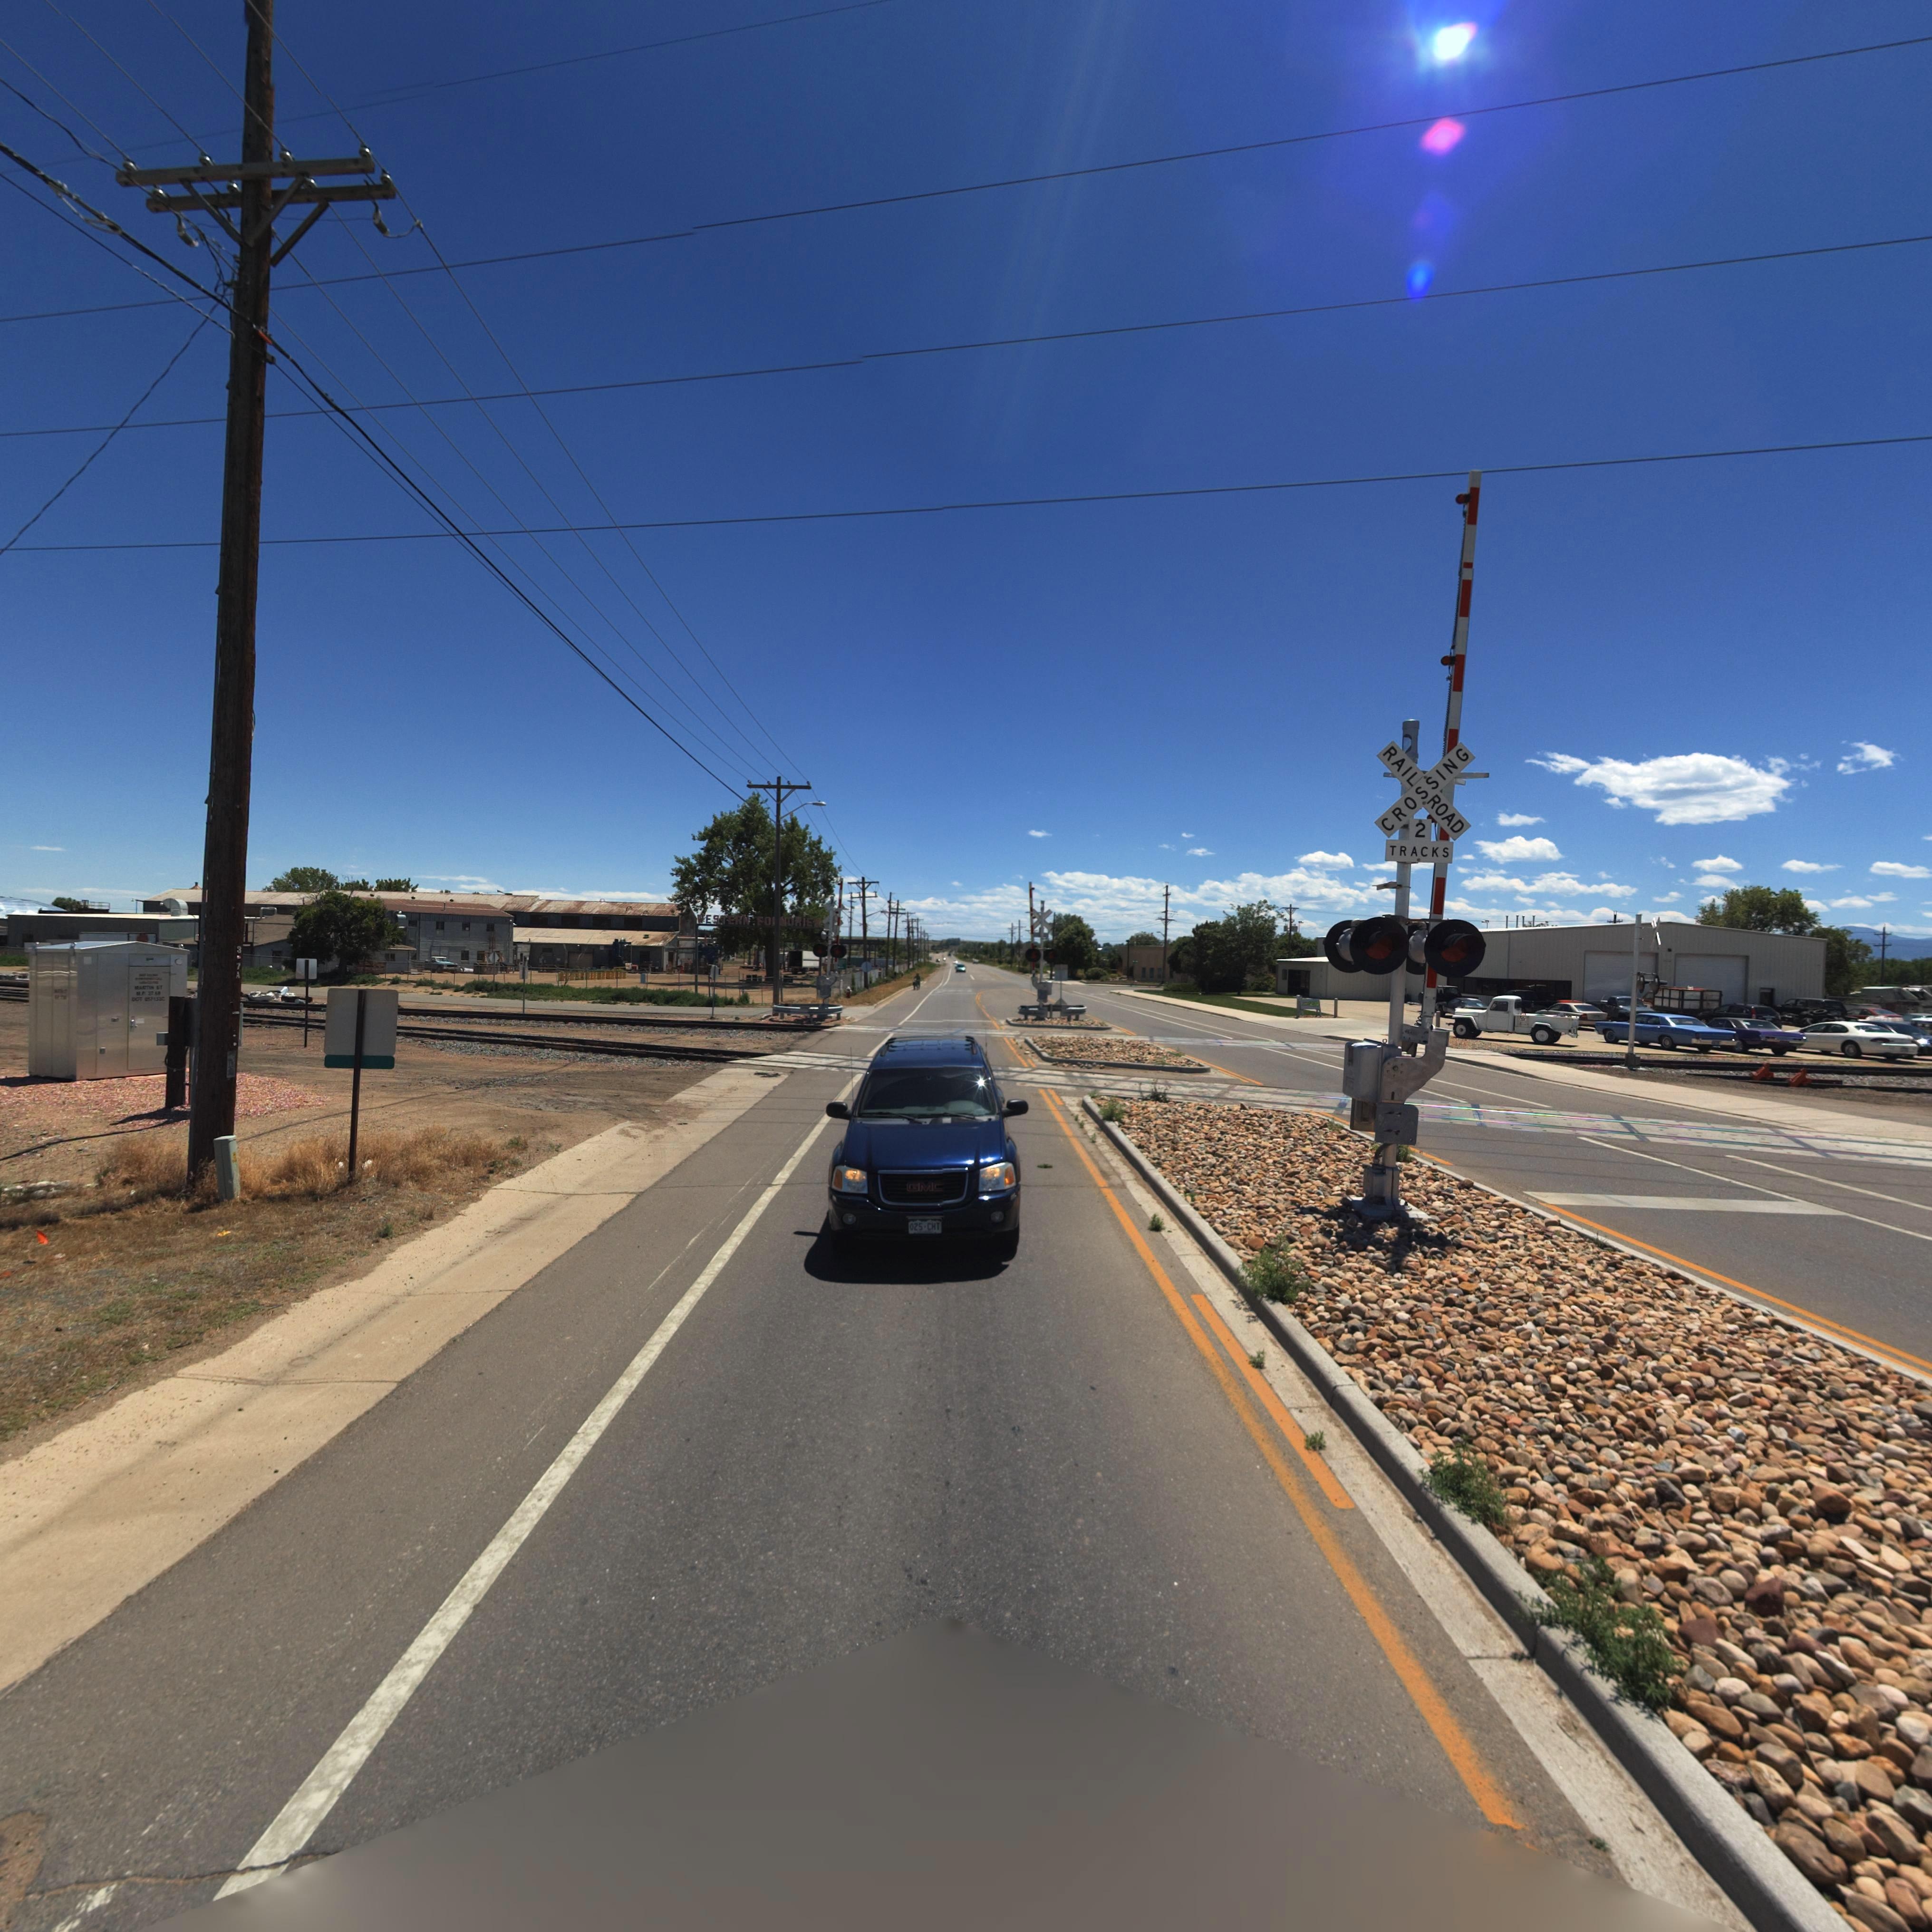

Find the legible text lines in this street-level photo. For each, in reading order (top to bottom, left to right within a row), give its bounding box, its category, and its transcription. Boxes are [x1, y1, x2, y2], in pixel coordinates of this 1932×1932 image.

[697, 914, 820, 927] BusinessName: WESTERN FO**DRIES
[133, 985, 163, 991] StreetName: M*RT*N ST